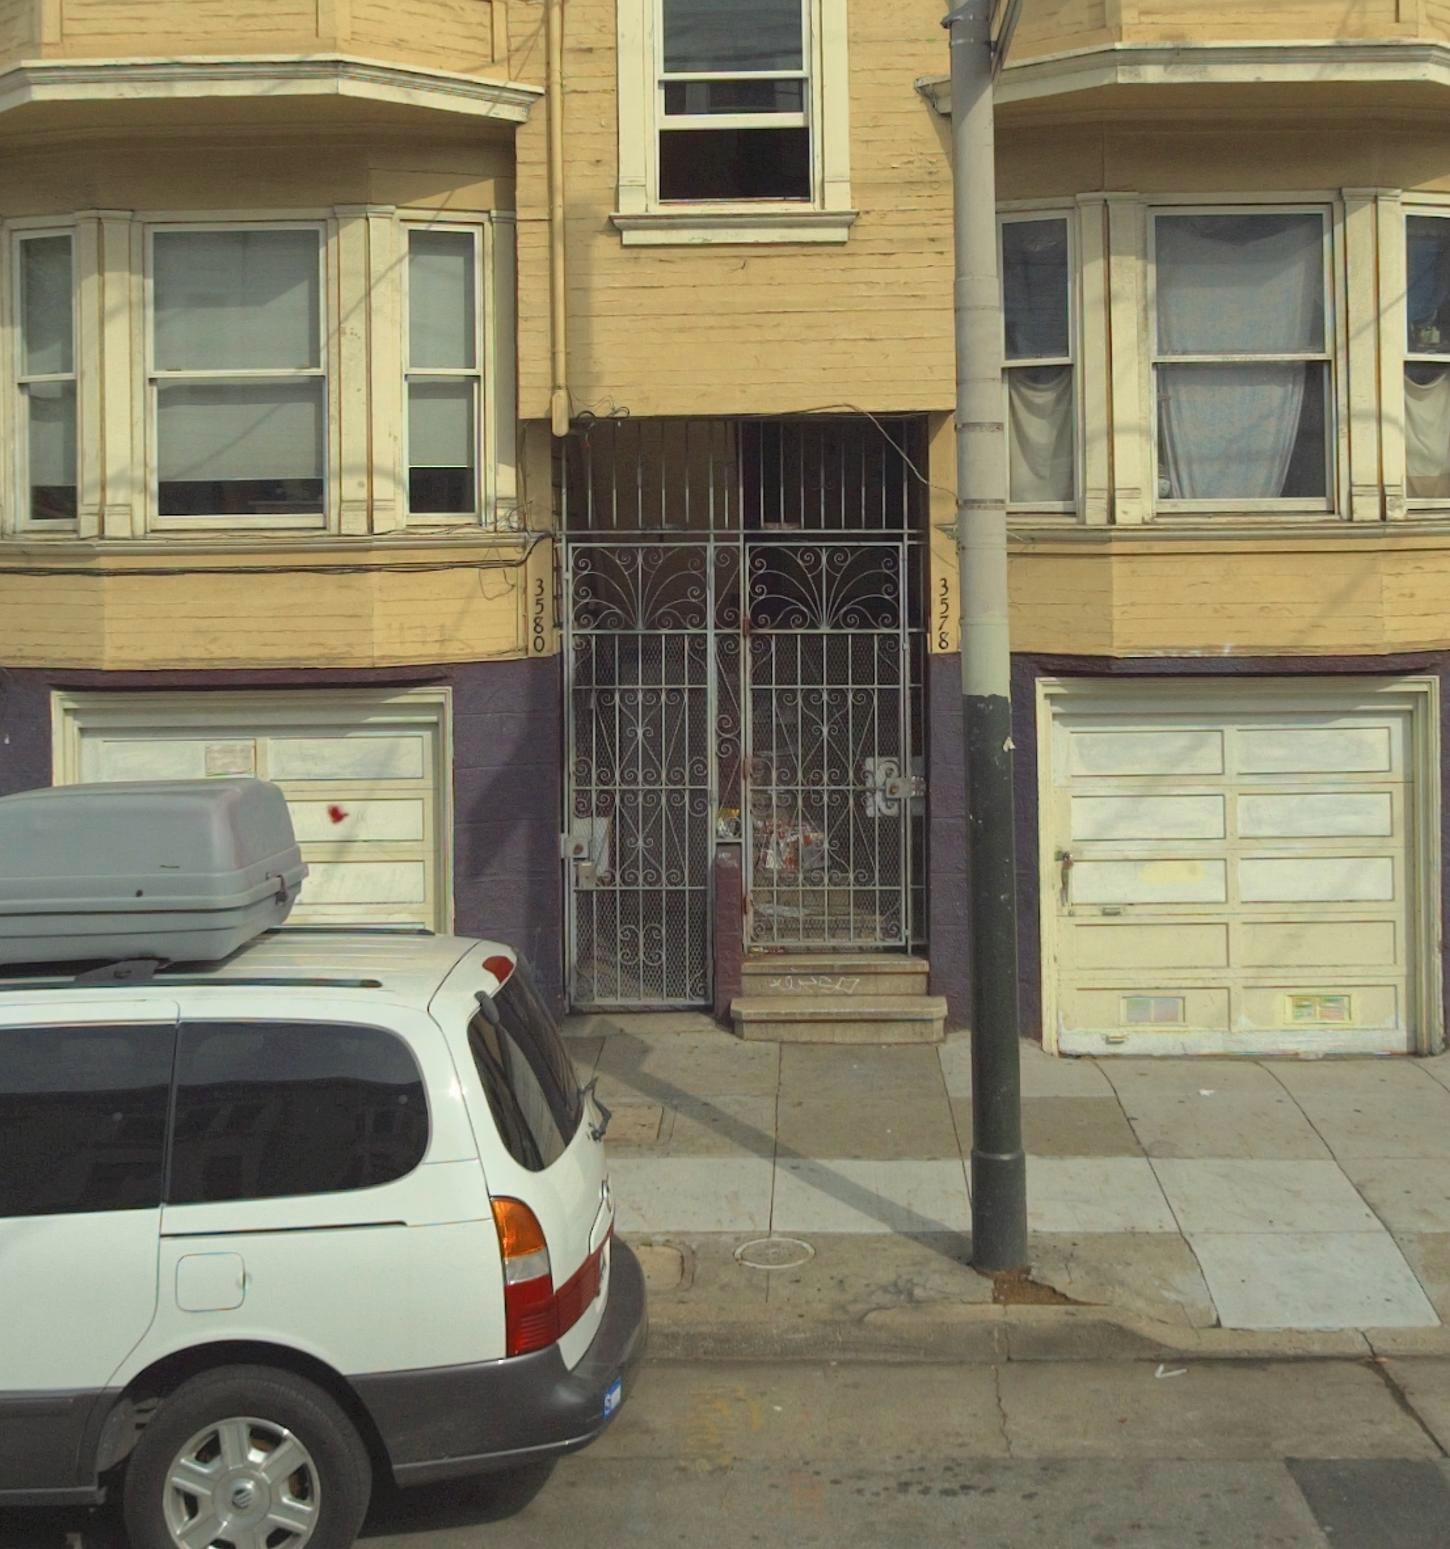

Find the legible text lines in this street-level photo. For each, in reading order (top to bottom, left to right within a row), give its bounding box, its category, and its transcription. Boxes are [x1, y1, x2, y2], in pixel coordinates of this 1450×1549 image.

[531, 576, 546, 655] StreetNumber: 3580
[936, 576, 950, 652] StreetNumber: 3578